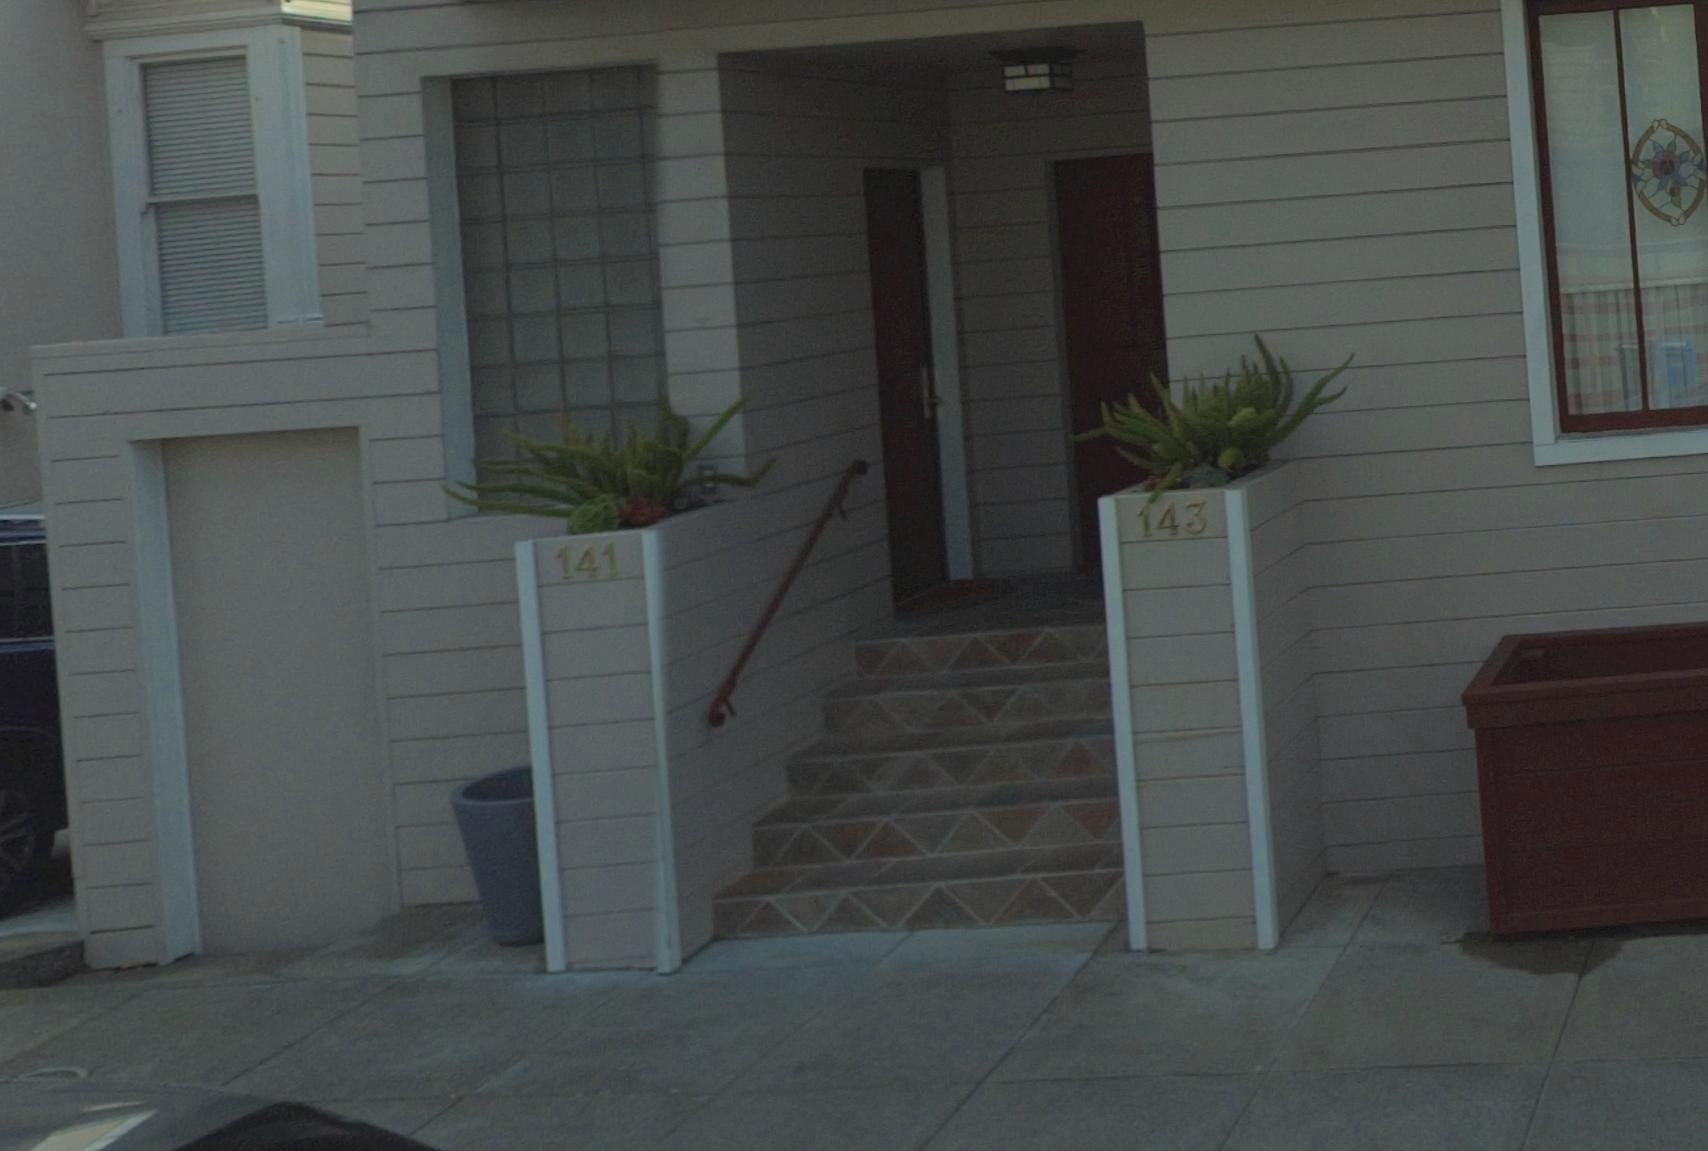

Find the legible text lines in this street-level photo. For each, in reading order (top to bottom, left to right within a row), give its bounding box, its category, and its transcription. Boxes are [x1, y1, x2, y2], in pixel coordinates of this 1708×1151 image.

[1136, 498, 1210, 541] StreetNumber: 143
[554, 540, 623, 584] StreetNumber: 141